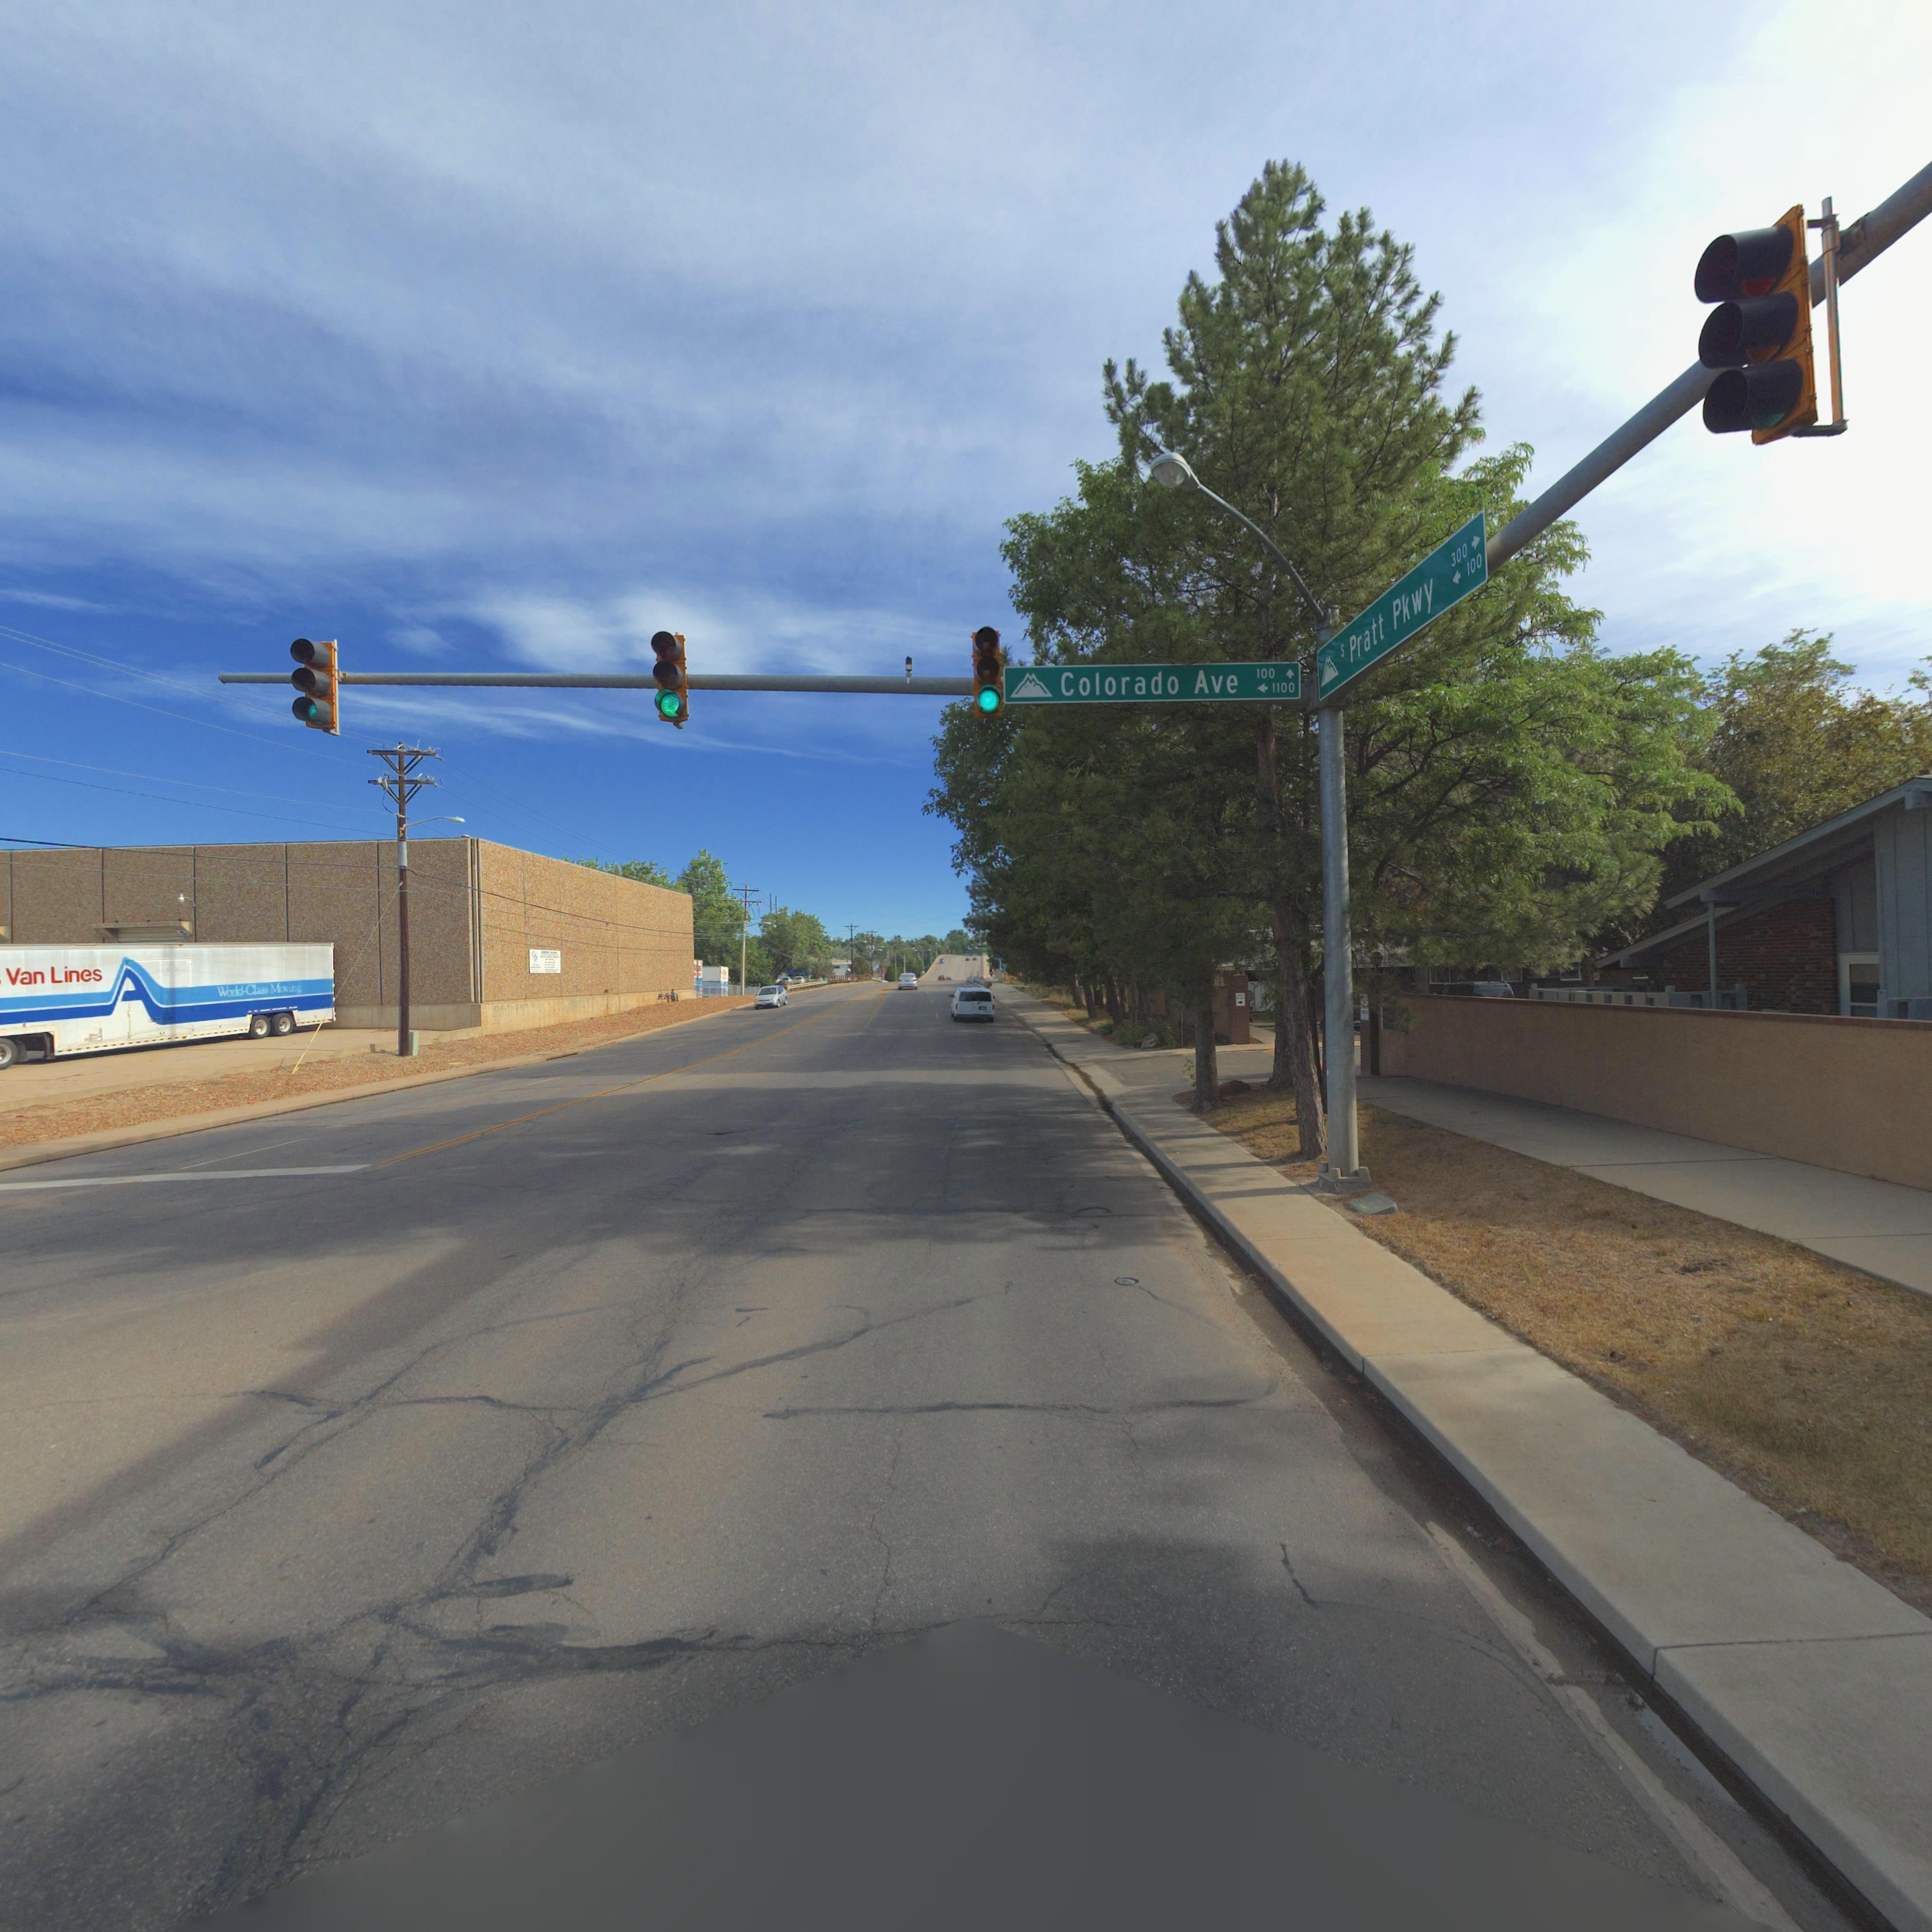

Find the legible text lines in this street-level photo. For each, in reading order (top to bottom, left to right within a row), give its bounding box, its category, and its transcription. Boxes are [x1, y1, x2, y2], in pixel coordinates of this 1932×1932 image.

[1450, 534, 1482, 568] StreetNumberRange: 300->
[1450, 551, 1483, 585] StreetNumberRange: <-100
[1339, 575, 1434, 664] StreetName: S Pratt Pkwy
[1057, 666, 1241, 697] StreetName: Colorado Ave
[1255, 667, 1275, 679] StreetNumberRange: 100
[1256, 681, 1295, 694] StreetNumberRange: <-1100